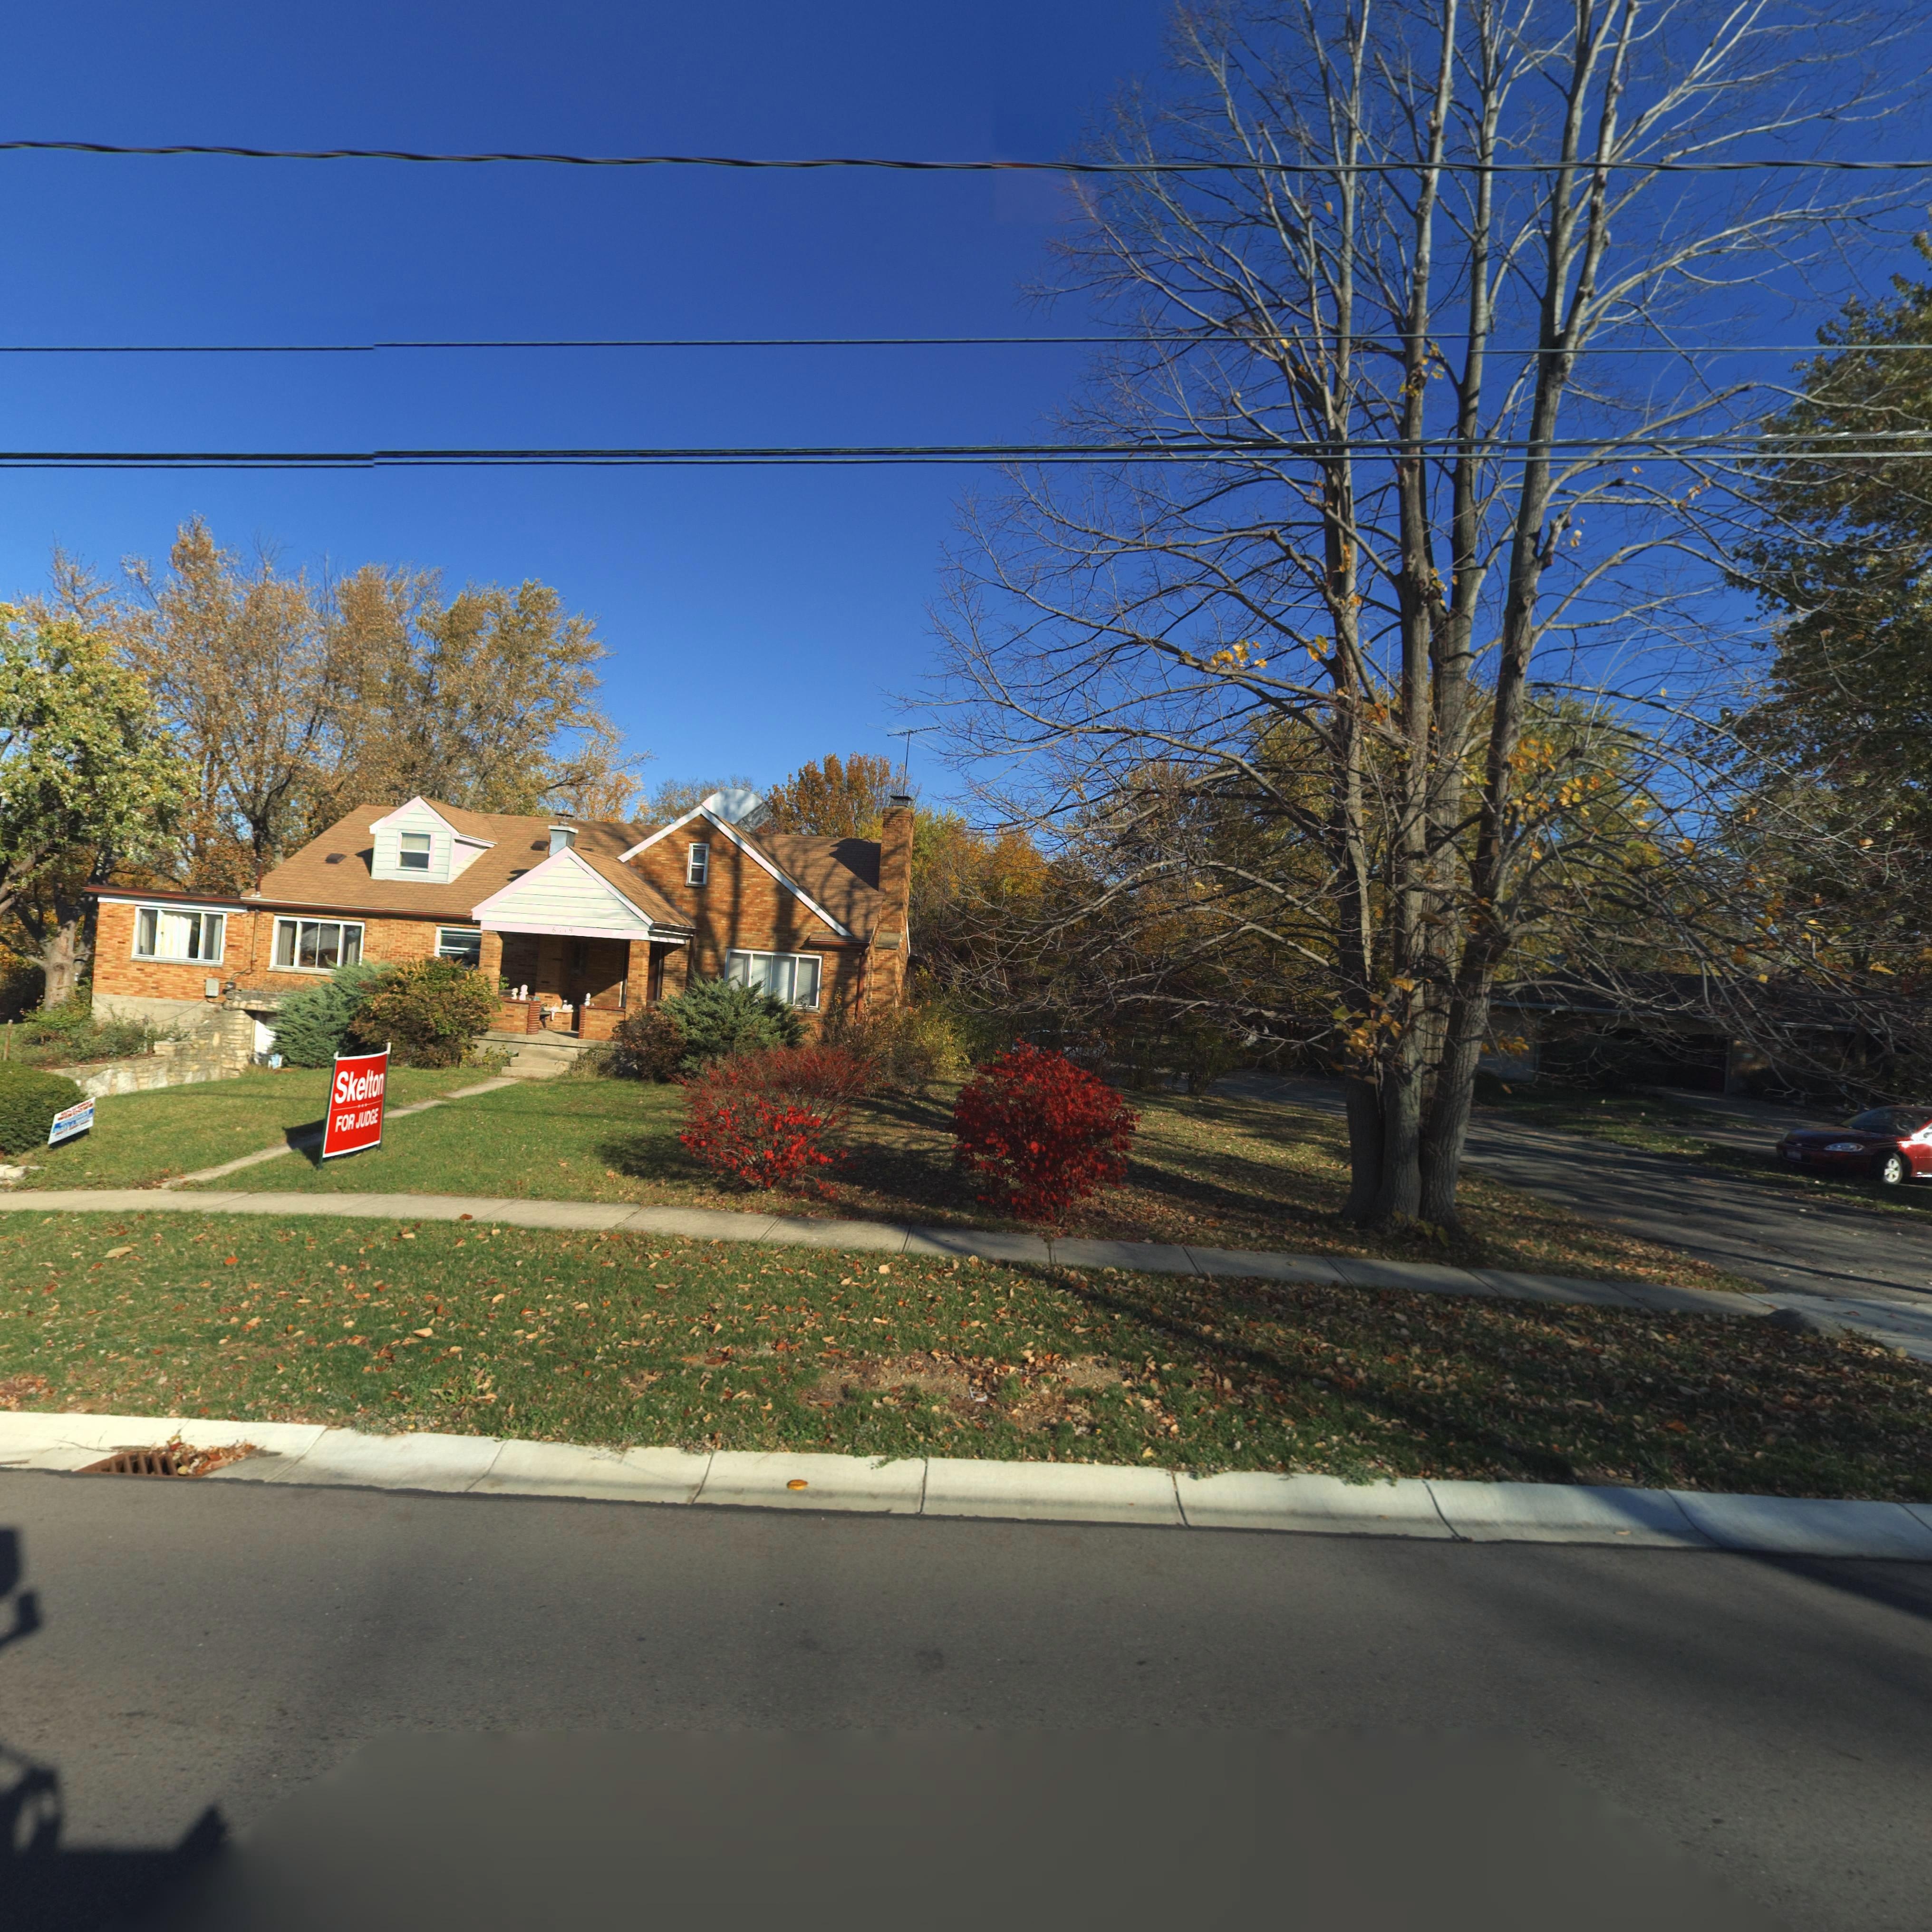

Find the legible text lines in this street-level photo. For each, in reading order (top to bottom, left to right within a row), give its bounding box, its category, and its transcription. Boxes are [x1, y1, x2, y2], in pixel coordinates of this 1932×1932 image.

[550, 926, 574, 935] StreetNumber: 6**9